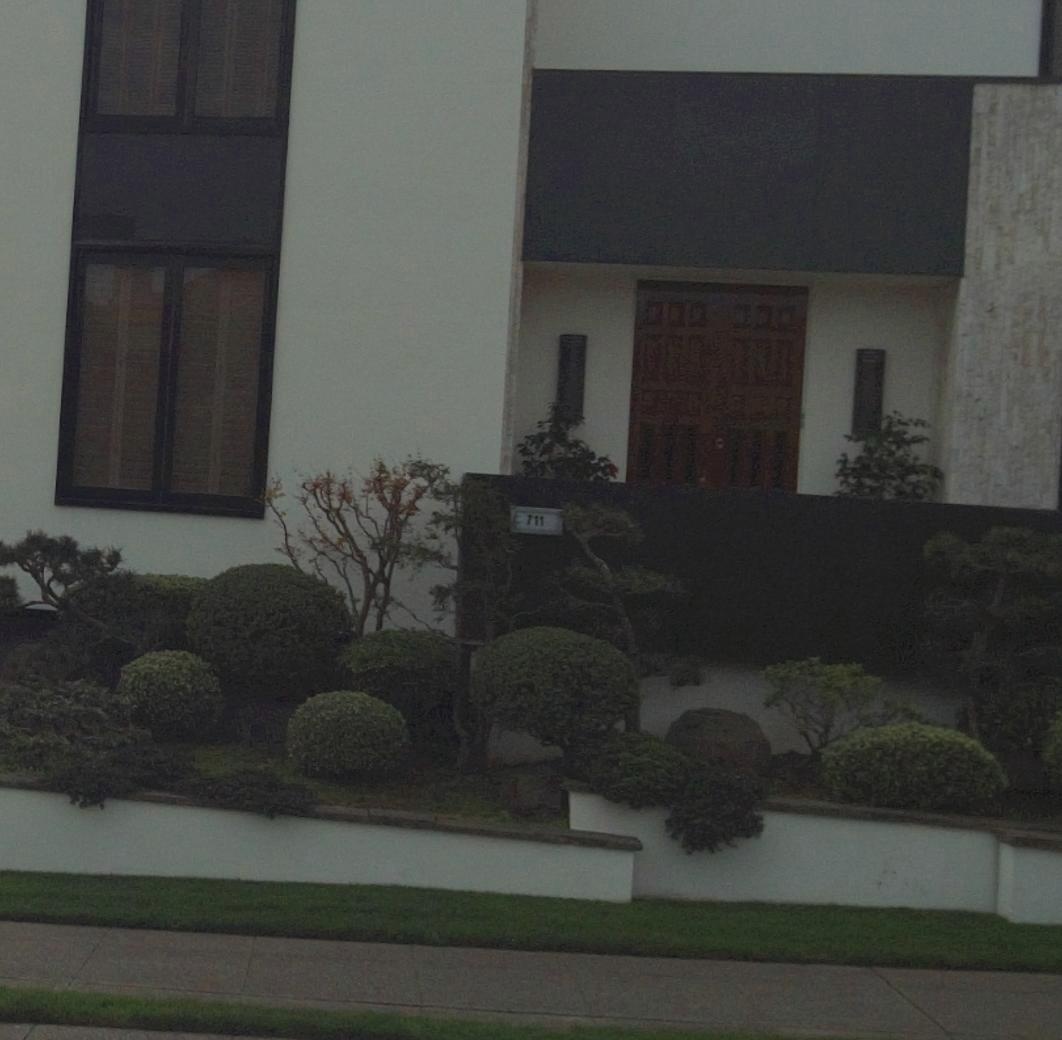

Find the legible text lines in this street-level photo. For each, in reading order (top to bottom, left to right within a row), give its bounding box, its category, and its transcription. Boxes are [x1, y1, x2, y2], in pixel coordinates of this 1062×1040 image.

[526, 514, 545, 527] StreetNumber: 711